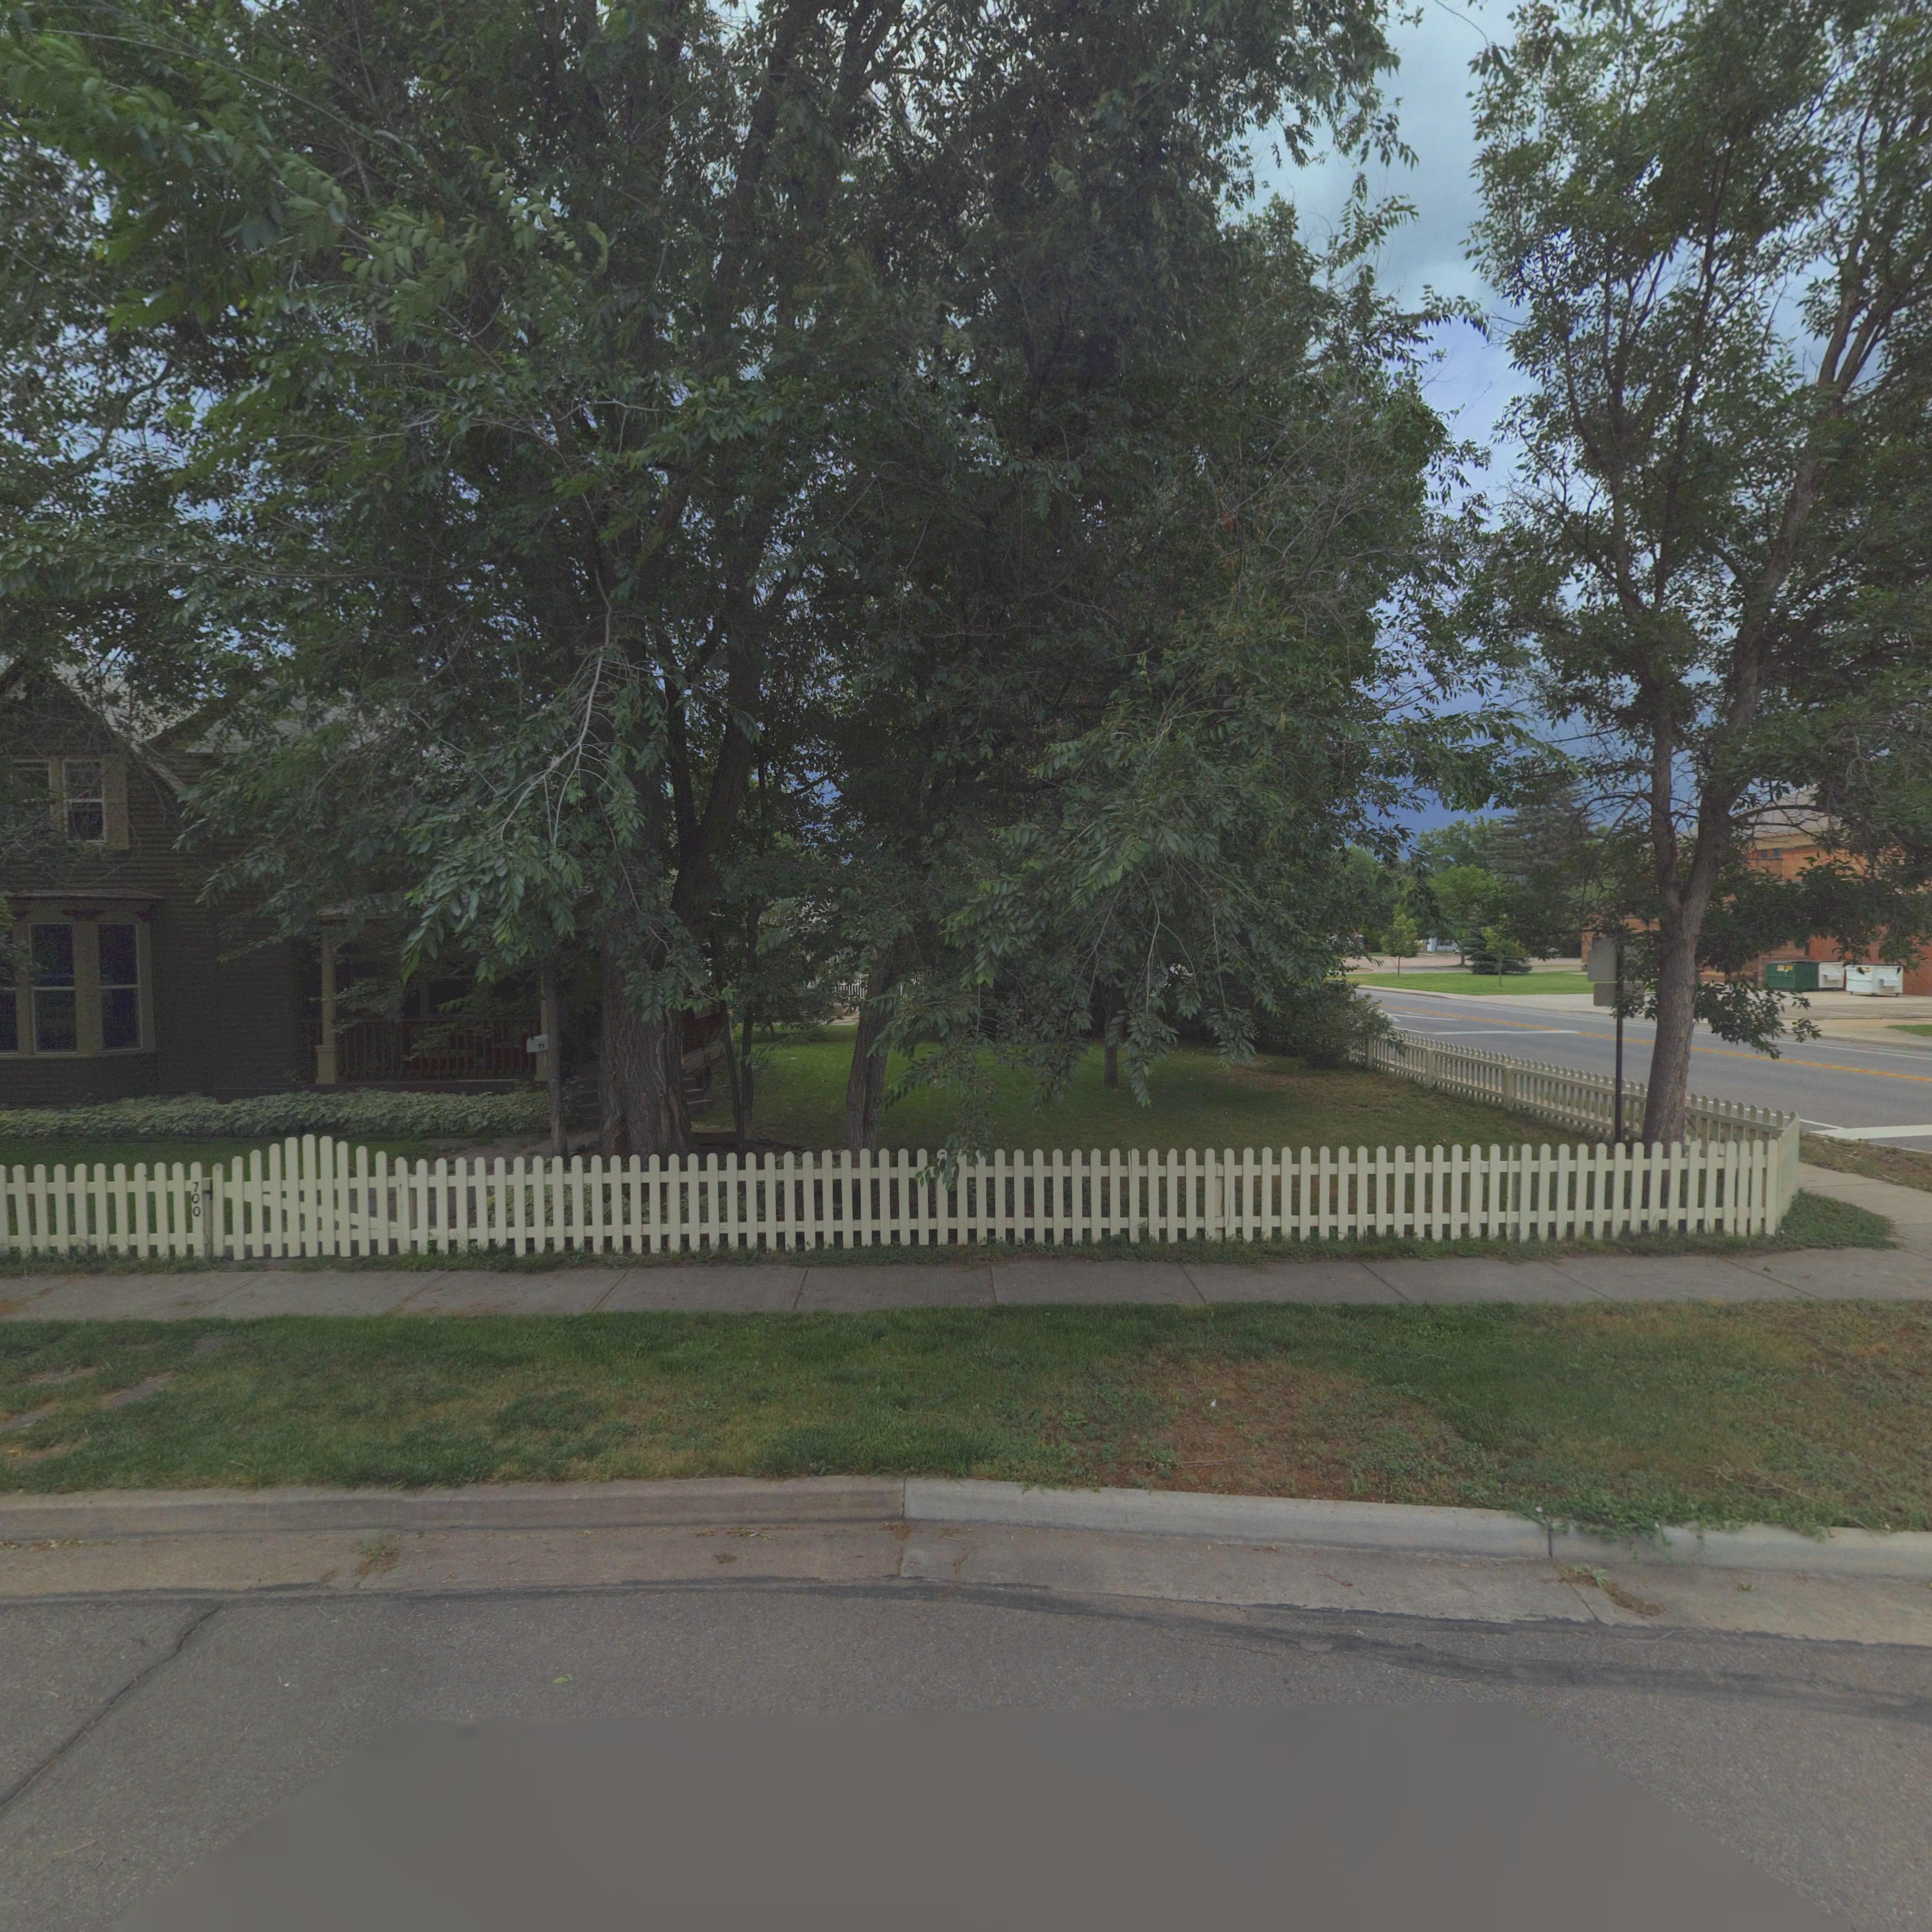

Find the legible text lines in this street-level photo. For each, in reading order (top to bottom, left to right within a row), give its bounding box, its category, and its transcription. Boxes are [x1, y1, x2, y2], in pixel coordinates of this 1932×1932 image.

[191, 1181, 201, 1217] StreetNumber: 700